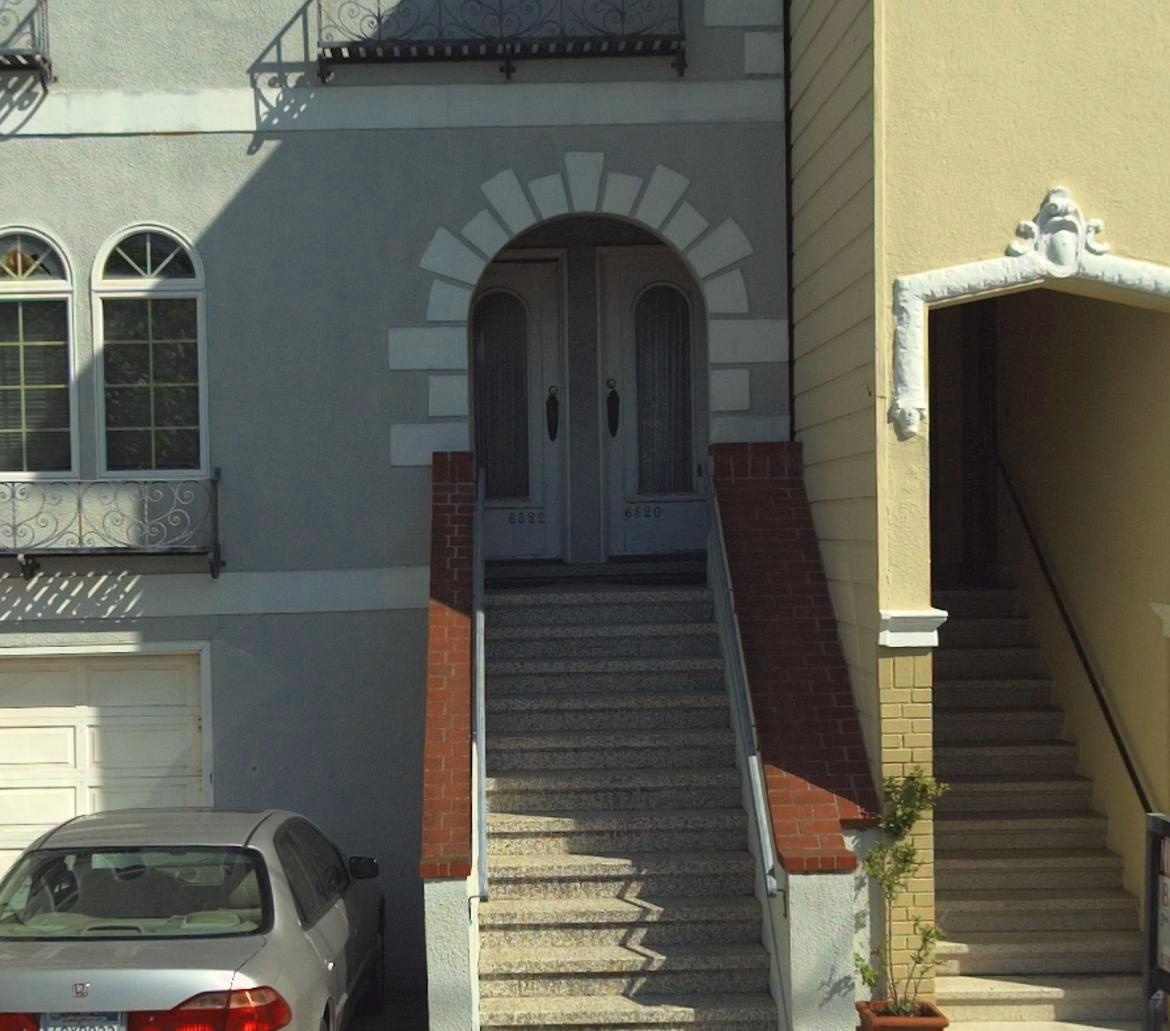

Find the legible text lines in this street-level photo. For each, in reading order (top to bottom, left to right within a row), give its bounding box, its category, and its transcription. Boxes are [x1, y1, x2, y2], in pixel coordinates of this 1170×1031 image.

[507, 510, 547, 527] StreetNumber: 6522
[623, 503, 663, 520] StreetNumber: 6520